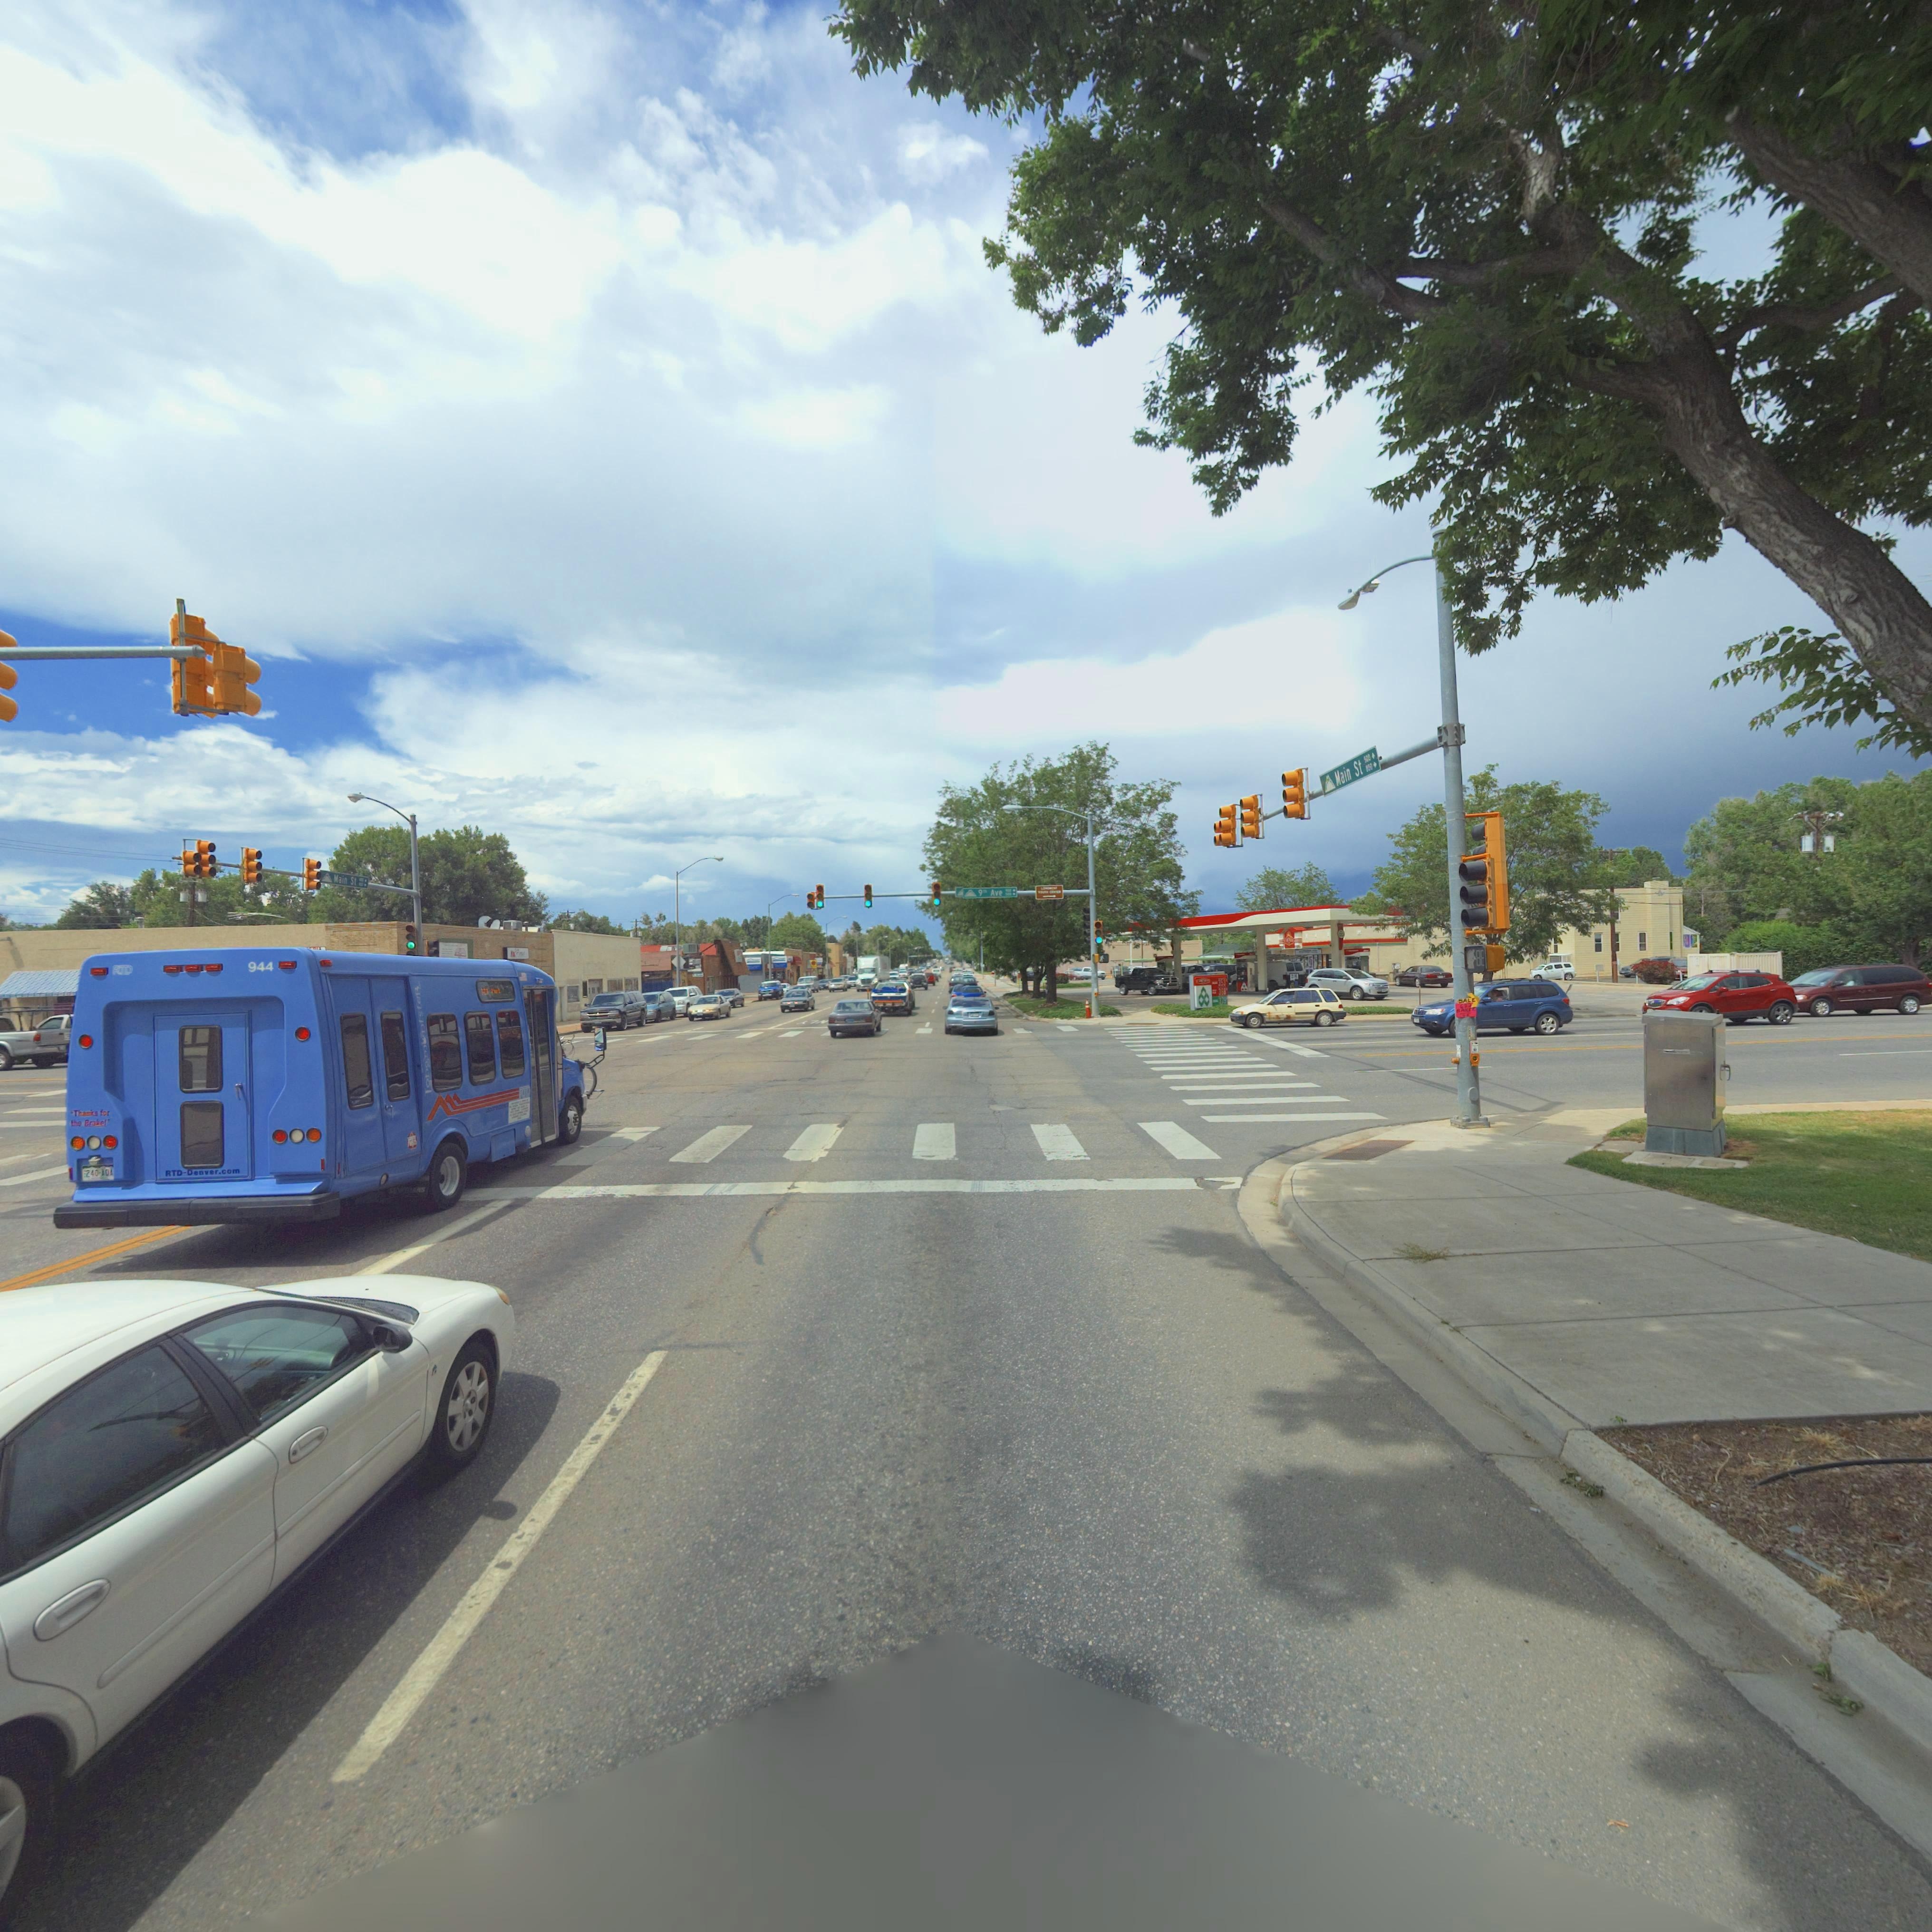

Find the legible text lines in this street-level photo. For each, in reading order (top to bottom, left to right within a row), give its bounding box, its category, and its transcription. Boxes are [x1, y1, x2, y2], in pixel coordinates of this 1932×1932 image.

[1363, 753, 1371, 763] StreetNumberRange: 500
[1364, 761, 1377, 773] StreetNumberRange: *00->
[1334, 759, 1363, 786] StreetName: Main St
[333, 874, 357, 886] StreetName: Main St
[978, 889, 1003, 896] StreetName: 9th Ave
[1456, 1006, 1475, 1013] StreetName: BAKER
[1460, 1003, 1472, 1008] StreetNumber: 6**